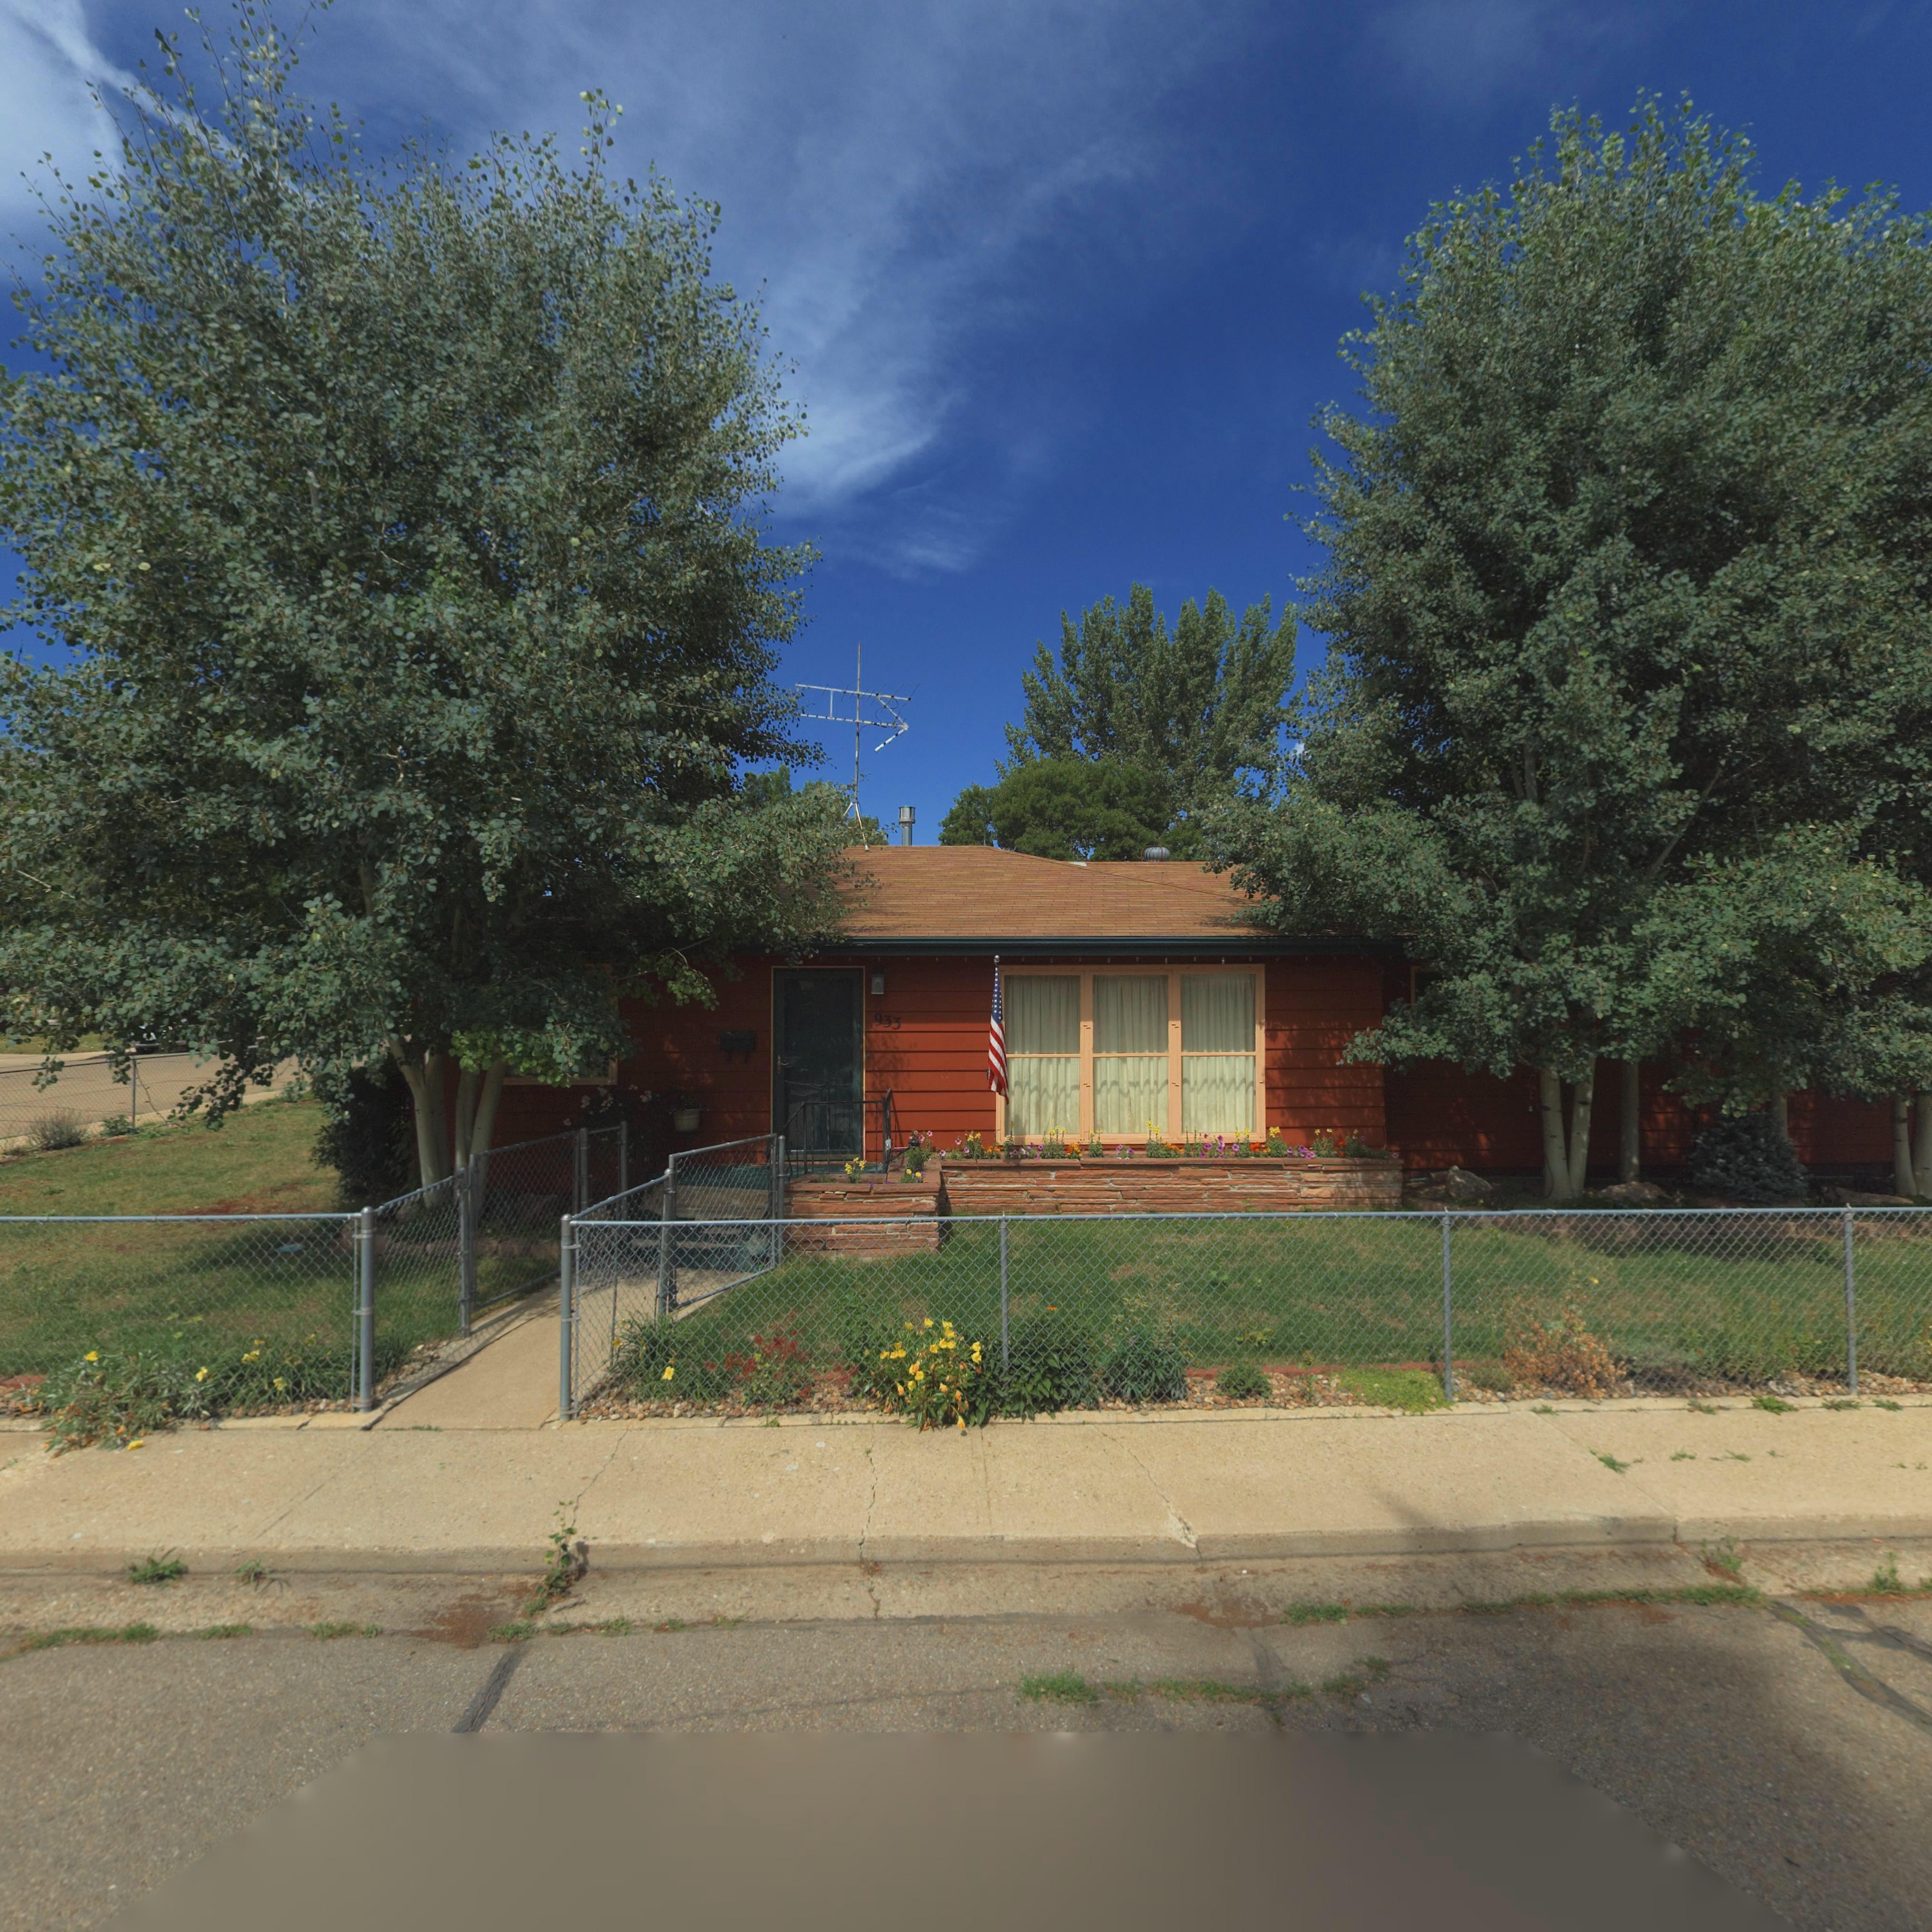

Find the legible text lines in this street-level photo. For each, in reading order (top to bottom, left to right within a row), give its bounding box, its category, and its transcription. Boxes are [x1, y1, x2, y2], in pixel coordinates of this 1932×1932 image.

[874, 1013, 901, 1030] StreetNumber: 933